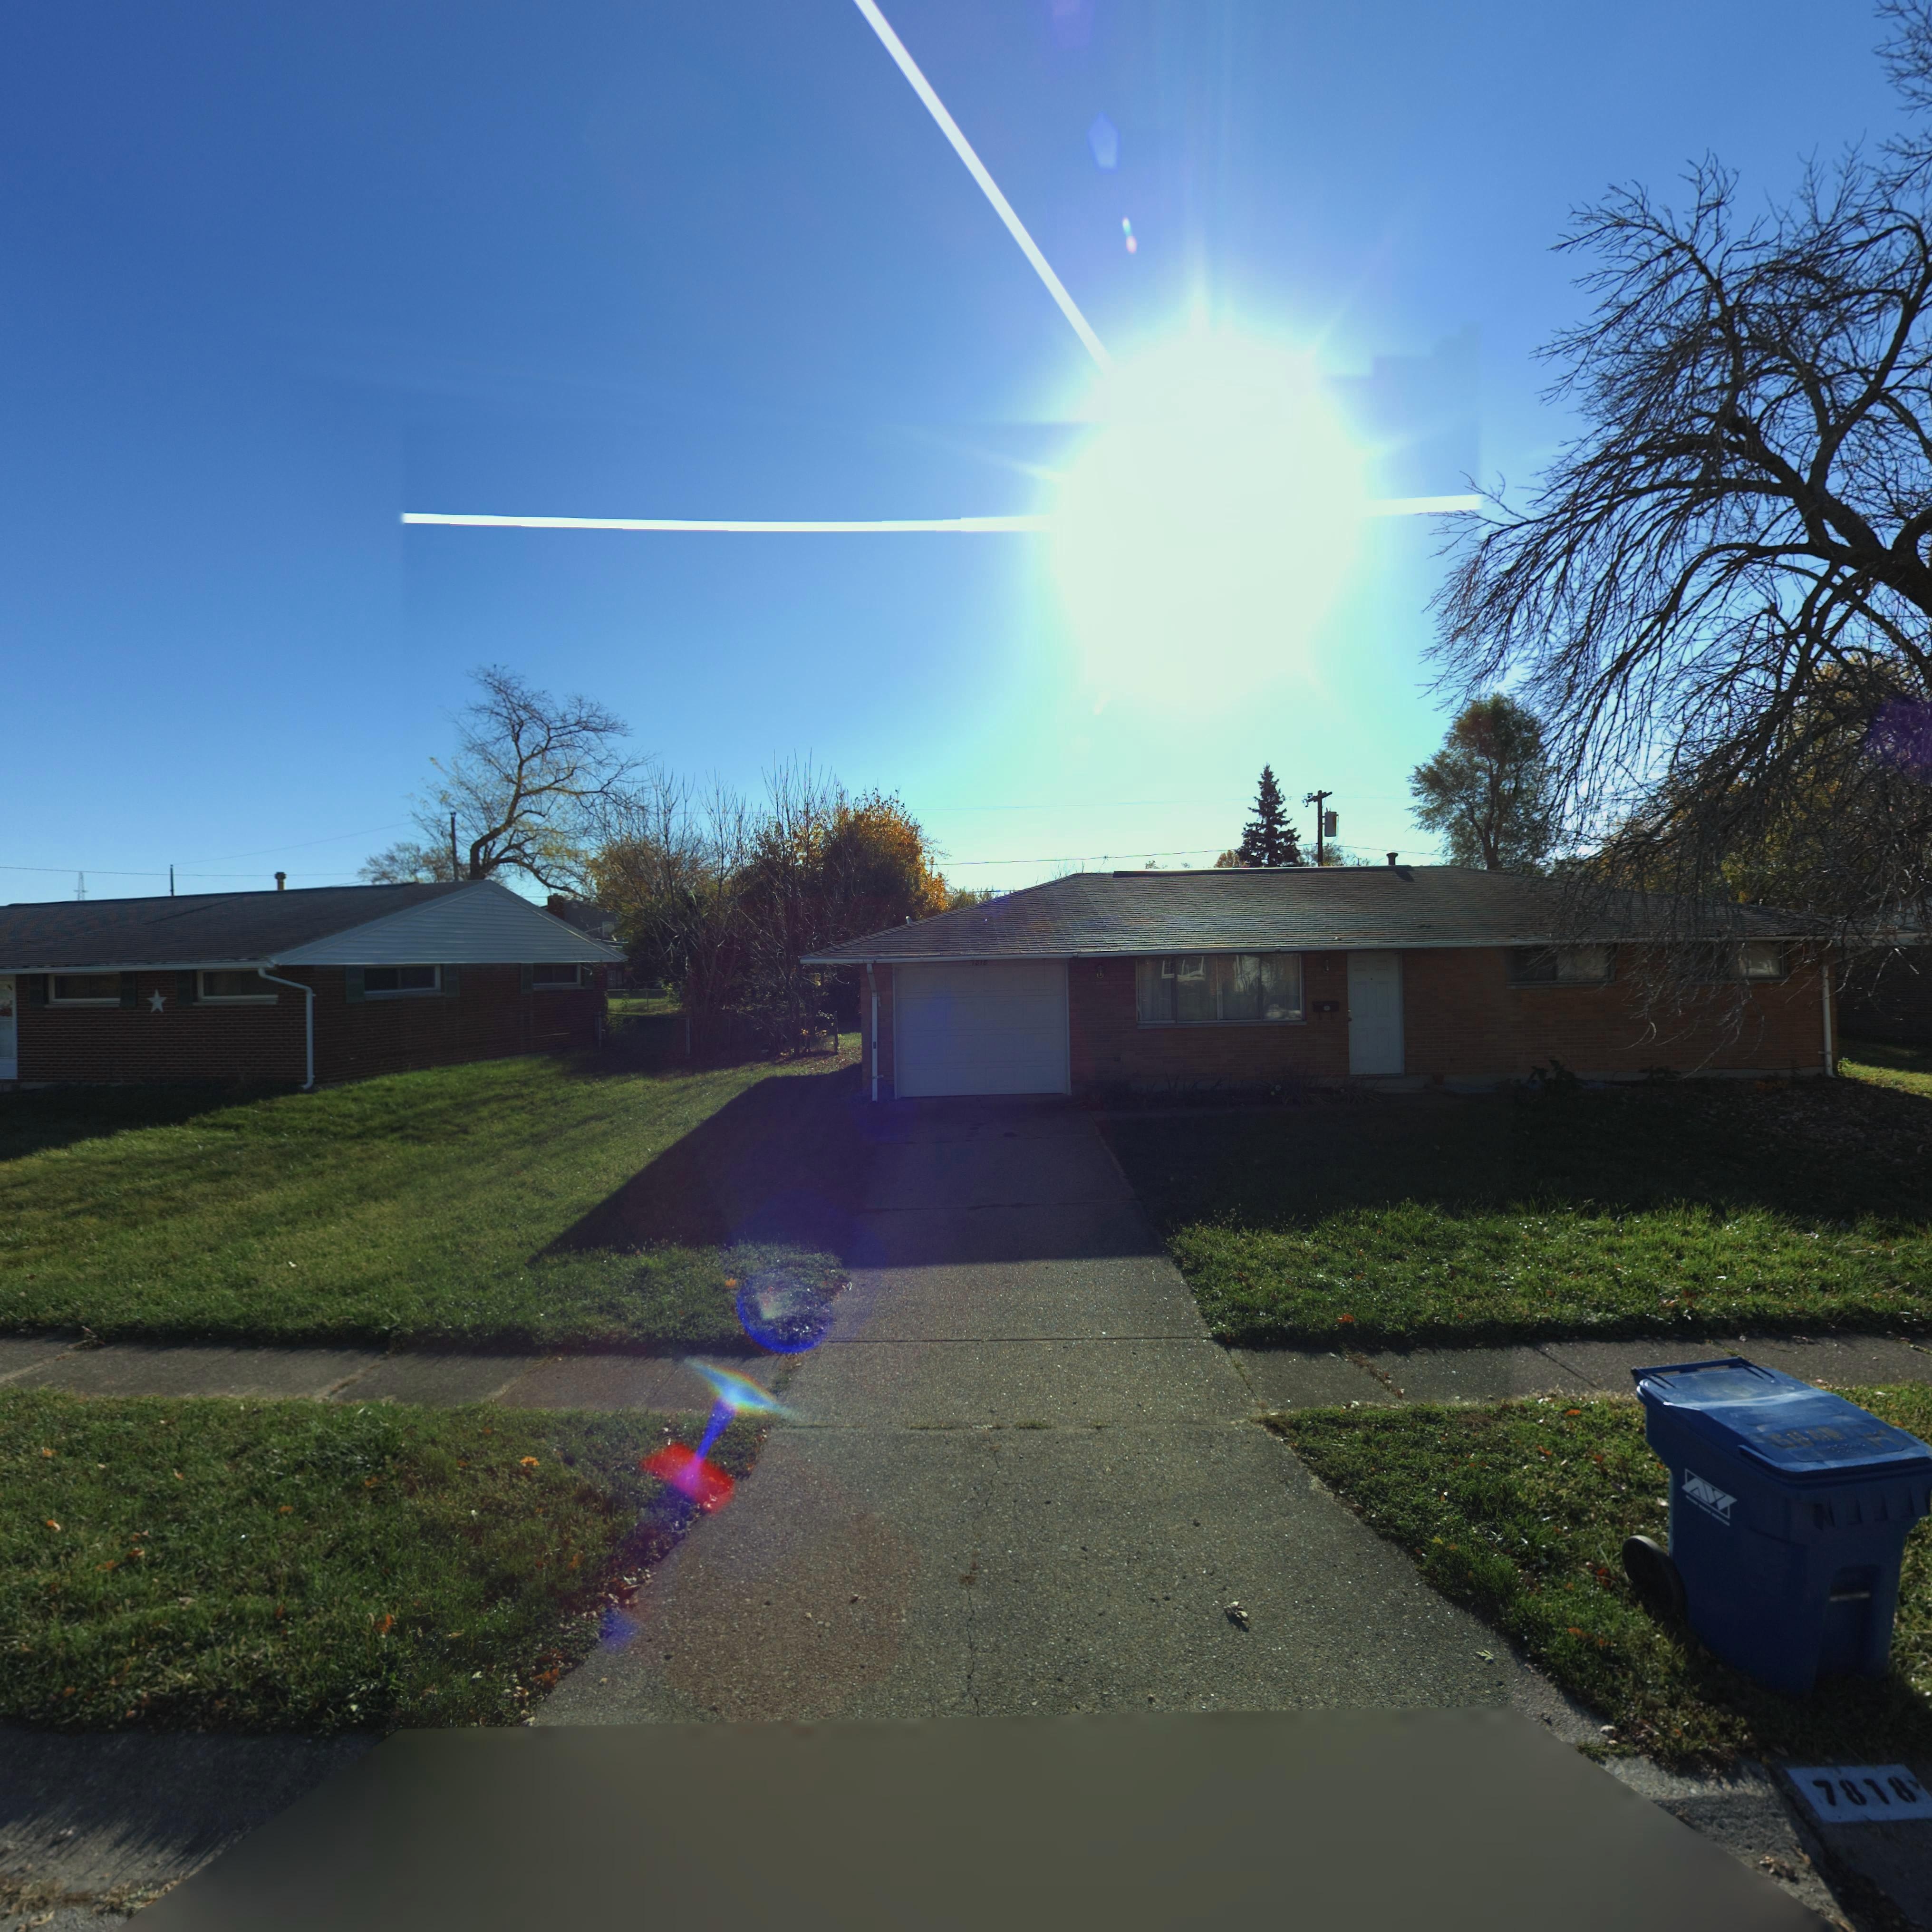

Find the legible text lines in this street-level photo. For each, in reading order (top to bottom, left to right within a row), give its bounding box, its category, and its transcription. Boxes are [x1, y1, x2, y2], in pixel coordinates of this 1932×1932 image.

[969, 958, 989, 968] StreetNumber: 7818
[1810, 1773, 1920, 1809] StreetNumber: 7818